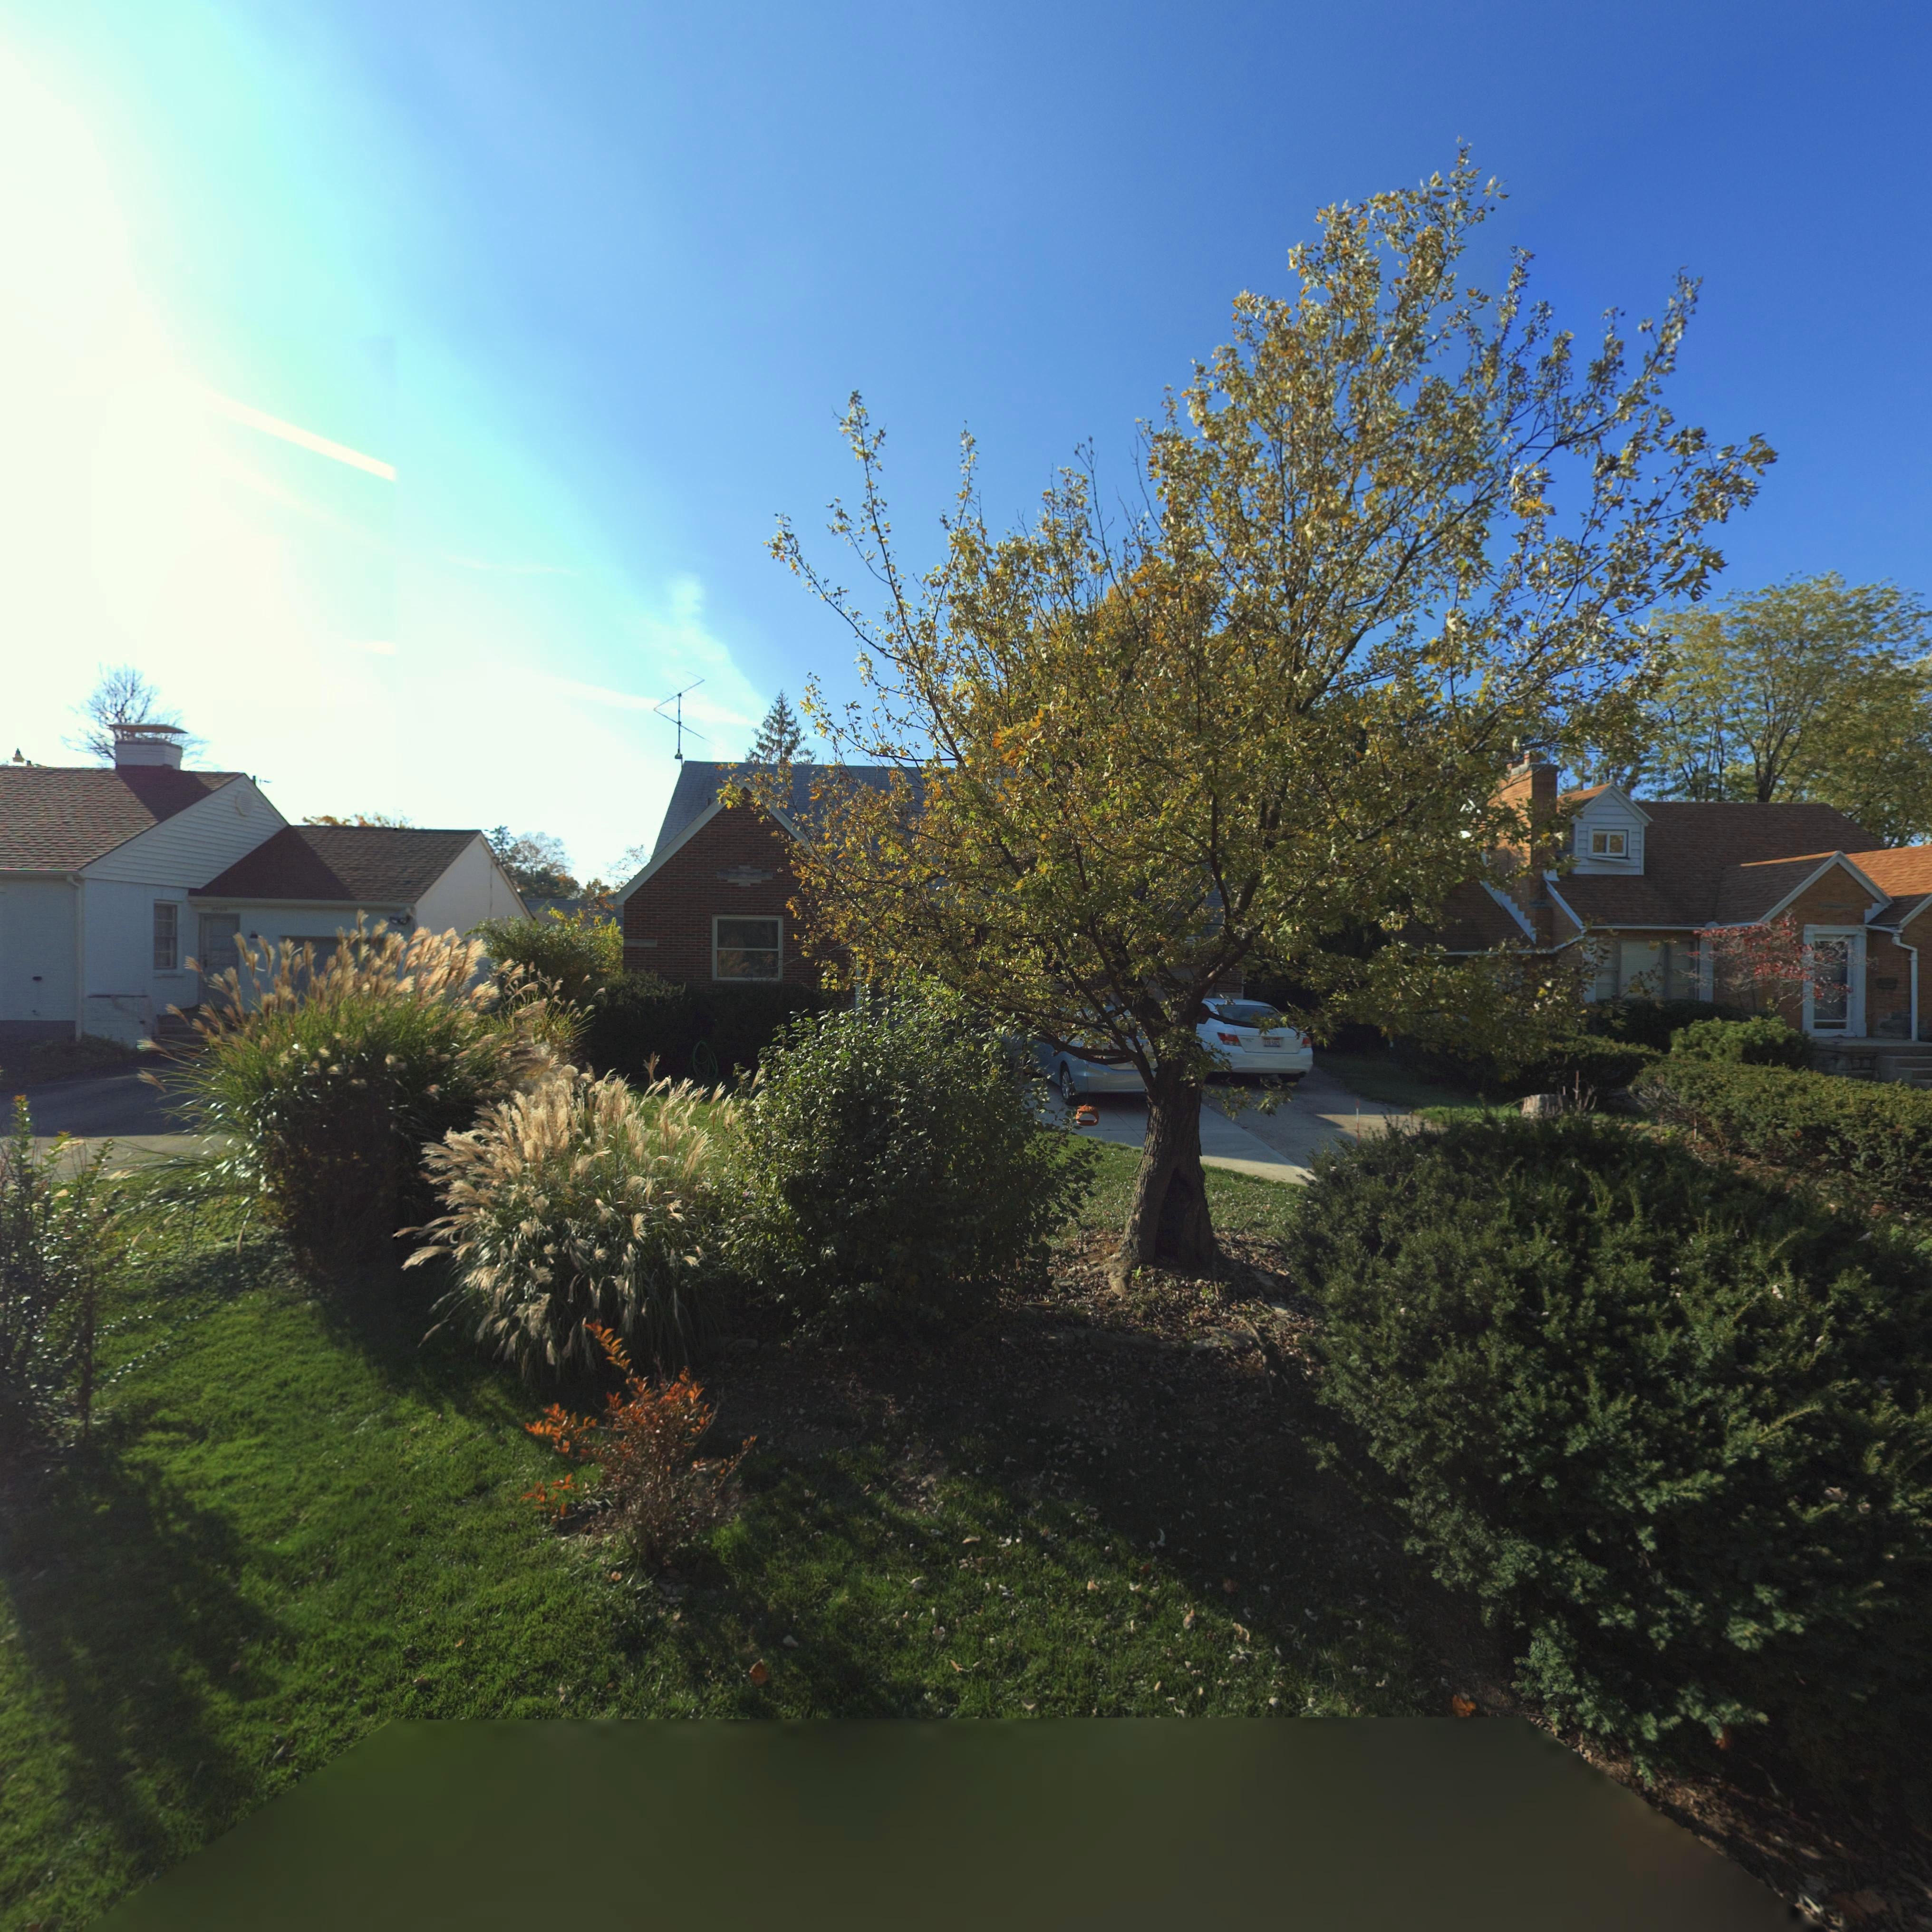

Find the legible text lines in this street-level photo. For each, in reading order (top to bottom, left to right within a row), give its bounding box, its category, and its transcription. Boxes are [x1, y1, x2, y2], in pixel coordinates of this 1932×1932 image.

[210, 906, 229, 913] StreetNumber: 3*5*